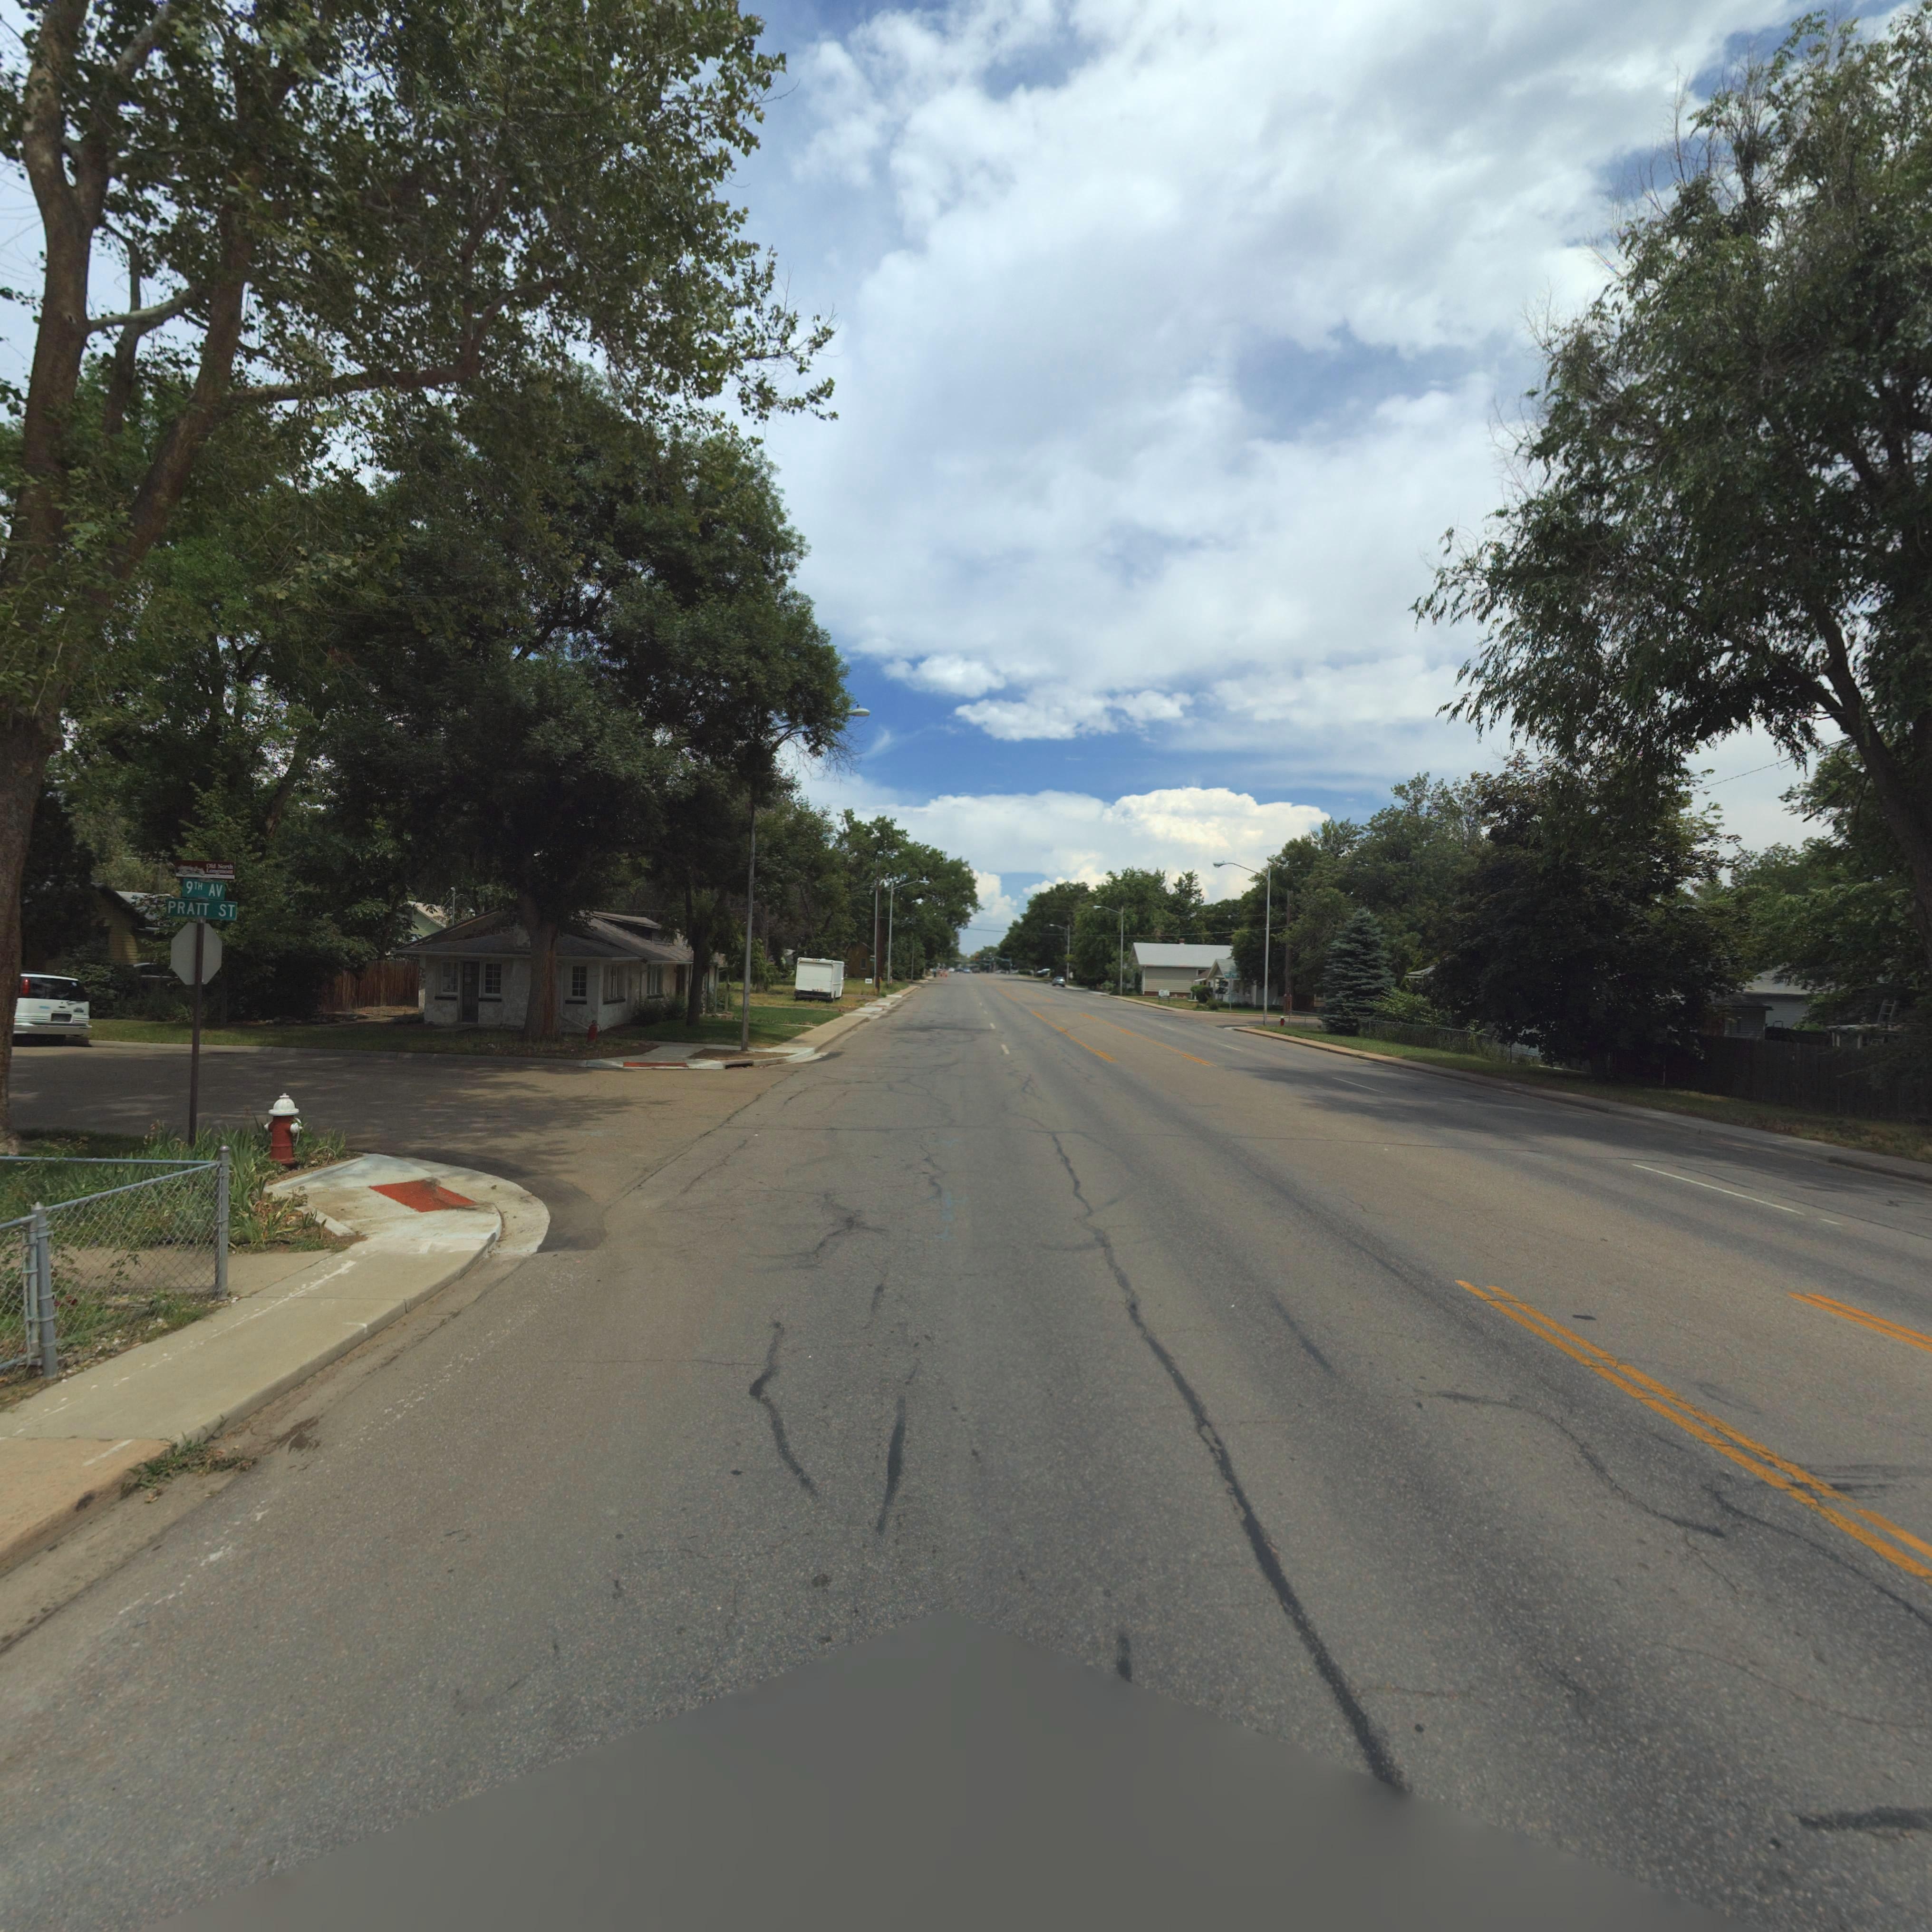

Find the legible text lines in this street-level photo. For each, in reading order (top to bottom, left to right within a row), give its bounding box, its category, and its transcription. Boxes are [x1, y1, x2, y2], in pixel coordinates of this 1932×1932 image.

[185, 880, 223, 898] StreetName: 9TH AV
[167, 900, 235, 917] StreetName: PRATT ST